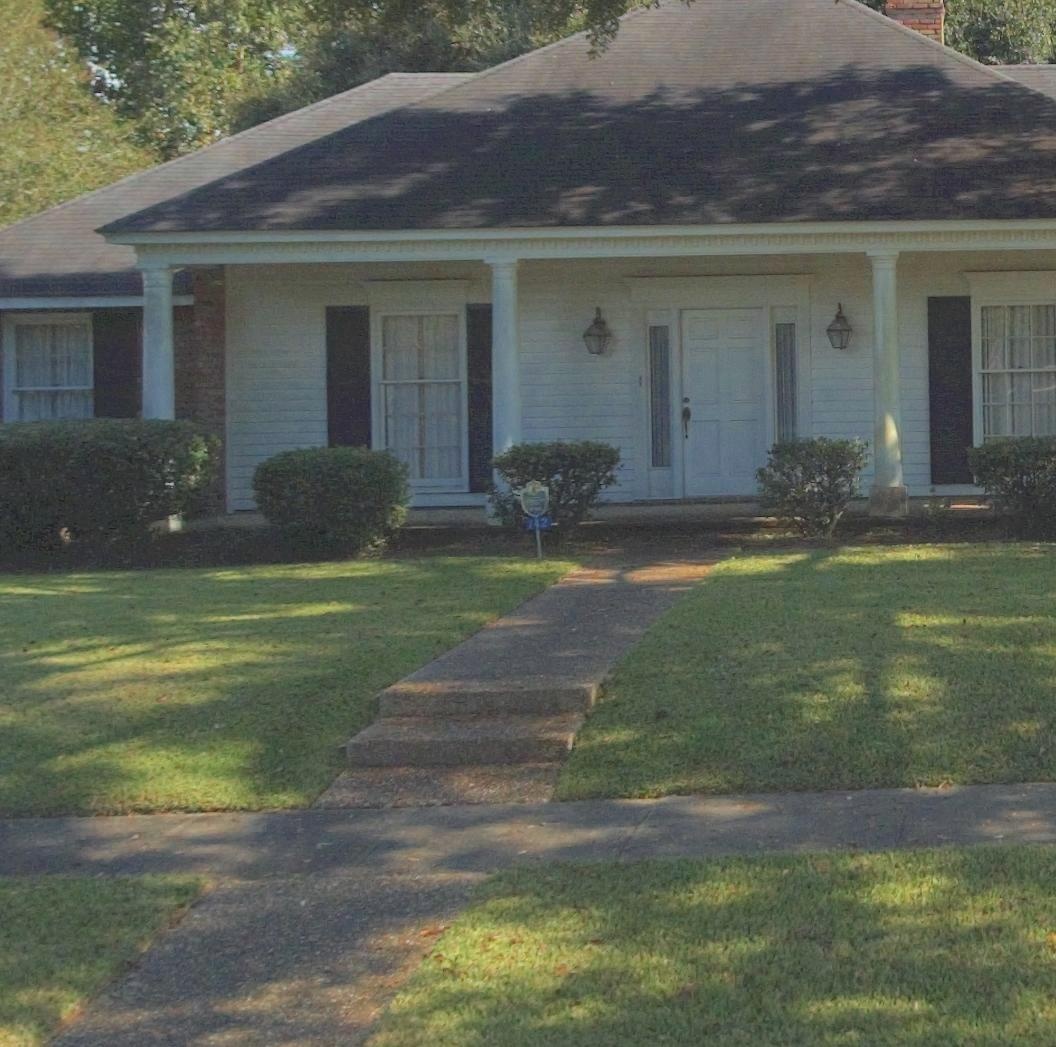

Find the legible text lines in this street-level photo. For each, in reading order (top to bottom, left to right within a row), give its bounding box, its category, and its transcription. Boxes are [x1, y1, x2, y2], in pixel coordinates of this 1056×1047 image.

[526, 519, 548, 529] StreetNumber: 242